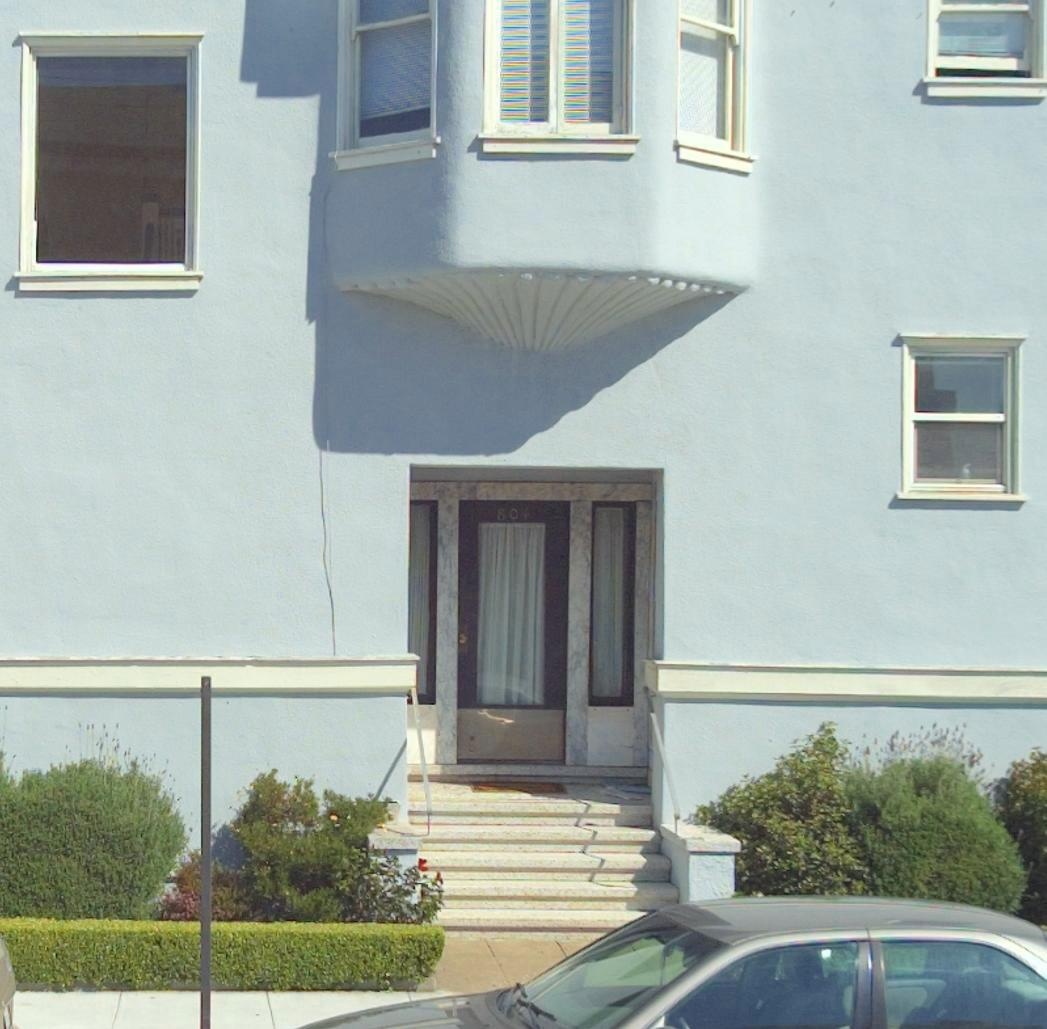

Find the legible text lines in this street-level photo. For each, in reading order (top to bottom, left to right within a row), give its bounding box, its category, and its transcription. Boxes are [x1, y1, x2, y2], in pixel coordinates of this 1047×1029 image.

[495, 506, 531, 523] StreetNumber: 804